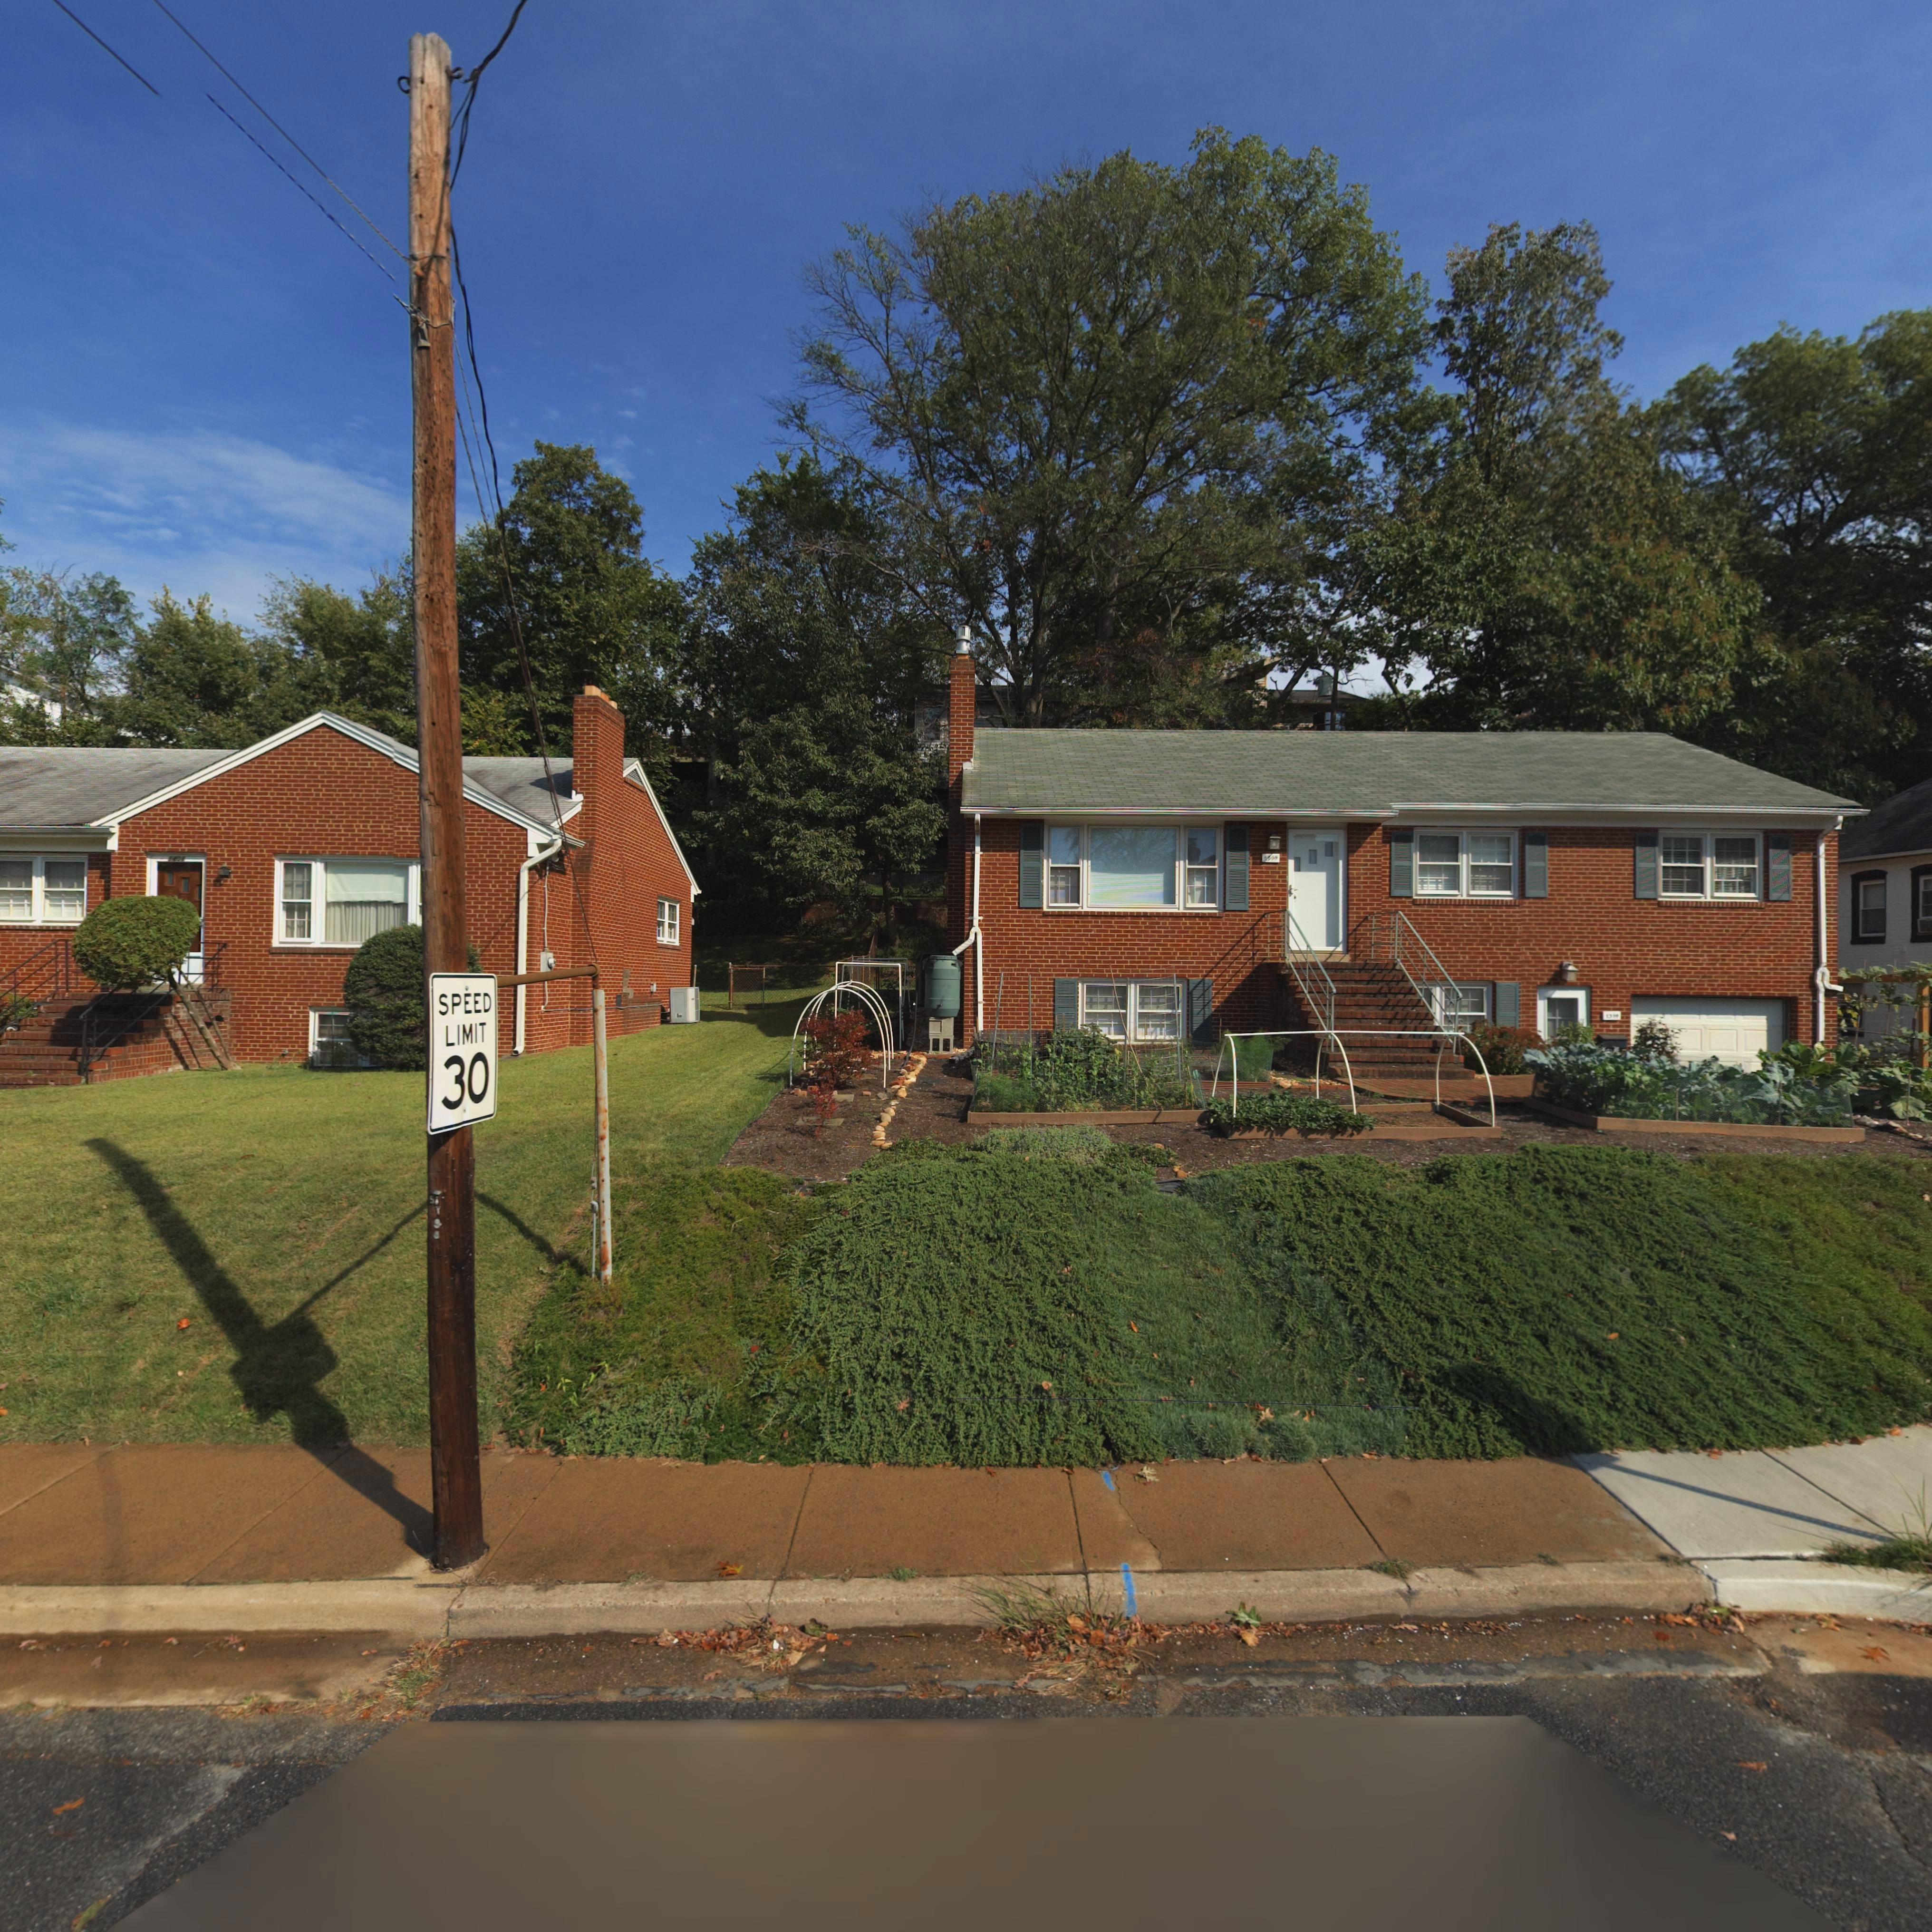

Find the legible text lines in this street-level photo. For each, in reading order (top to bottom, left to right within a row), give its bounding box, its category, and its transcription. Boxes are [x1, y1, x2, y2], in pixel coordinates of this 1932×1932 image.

[168, 856, 186, 862] StreetNumber: 14*7
[1264, 855, 1278, 861] StreetNumber: ***9
[438, 992, 492, 1016] None: SPEED
[1605, 1013, 1619, 1019] StreetNumber: 1319
[445, 1022, 487, 1047] None: LIMIT
[441, 1051, 489, 1111] None: 30
[429, 1195, 440, 1206] None: 51
[435, 1205, 443, 1216] None: Y
[432, 1217, 442, 1240] None: 33